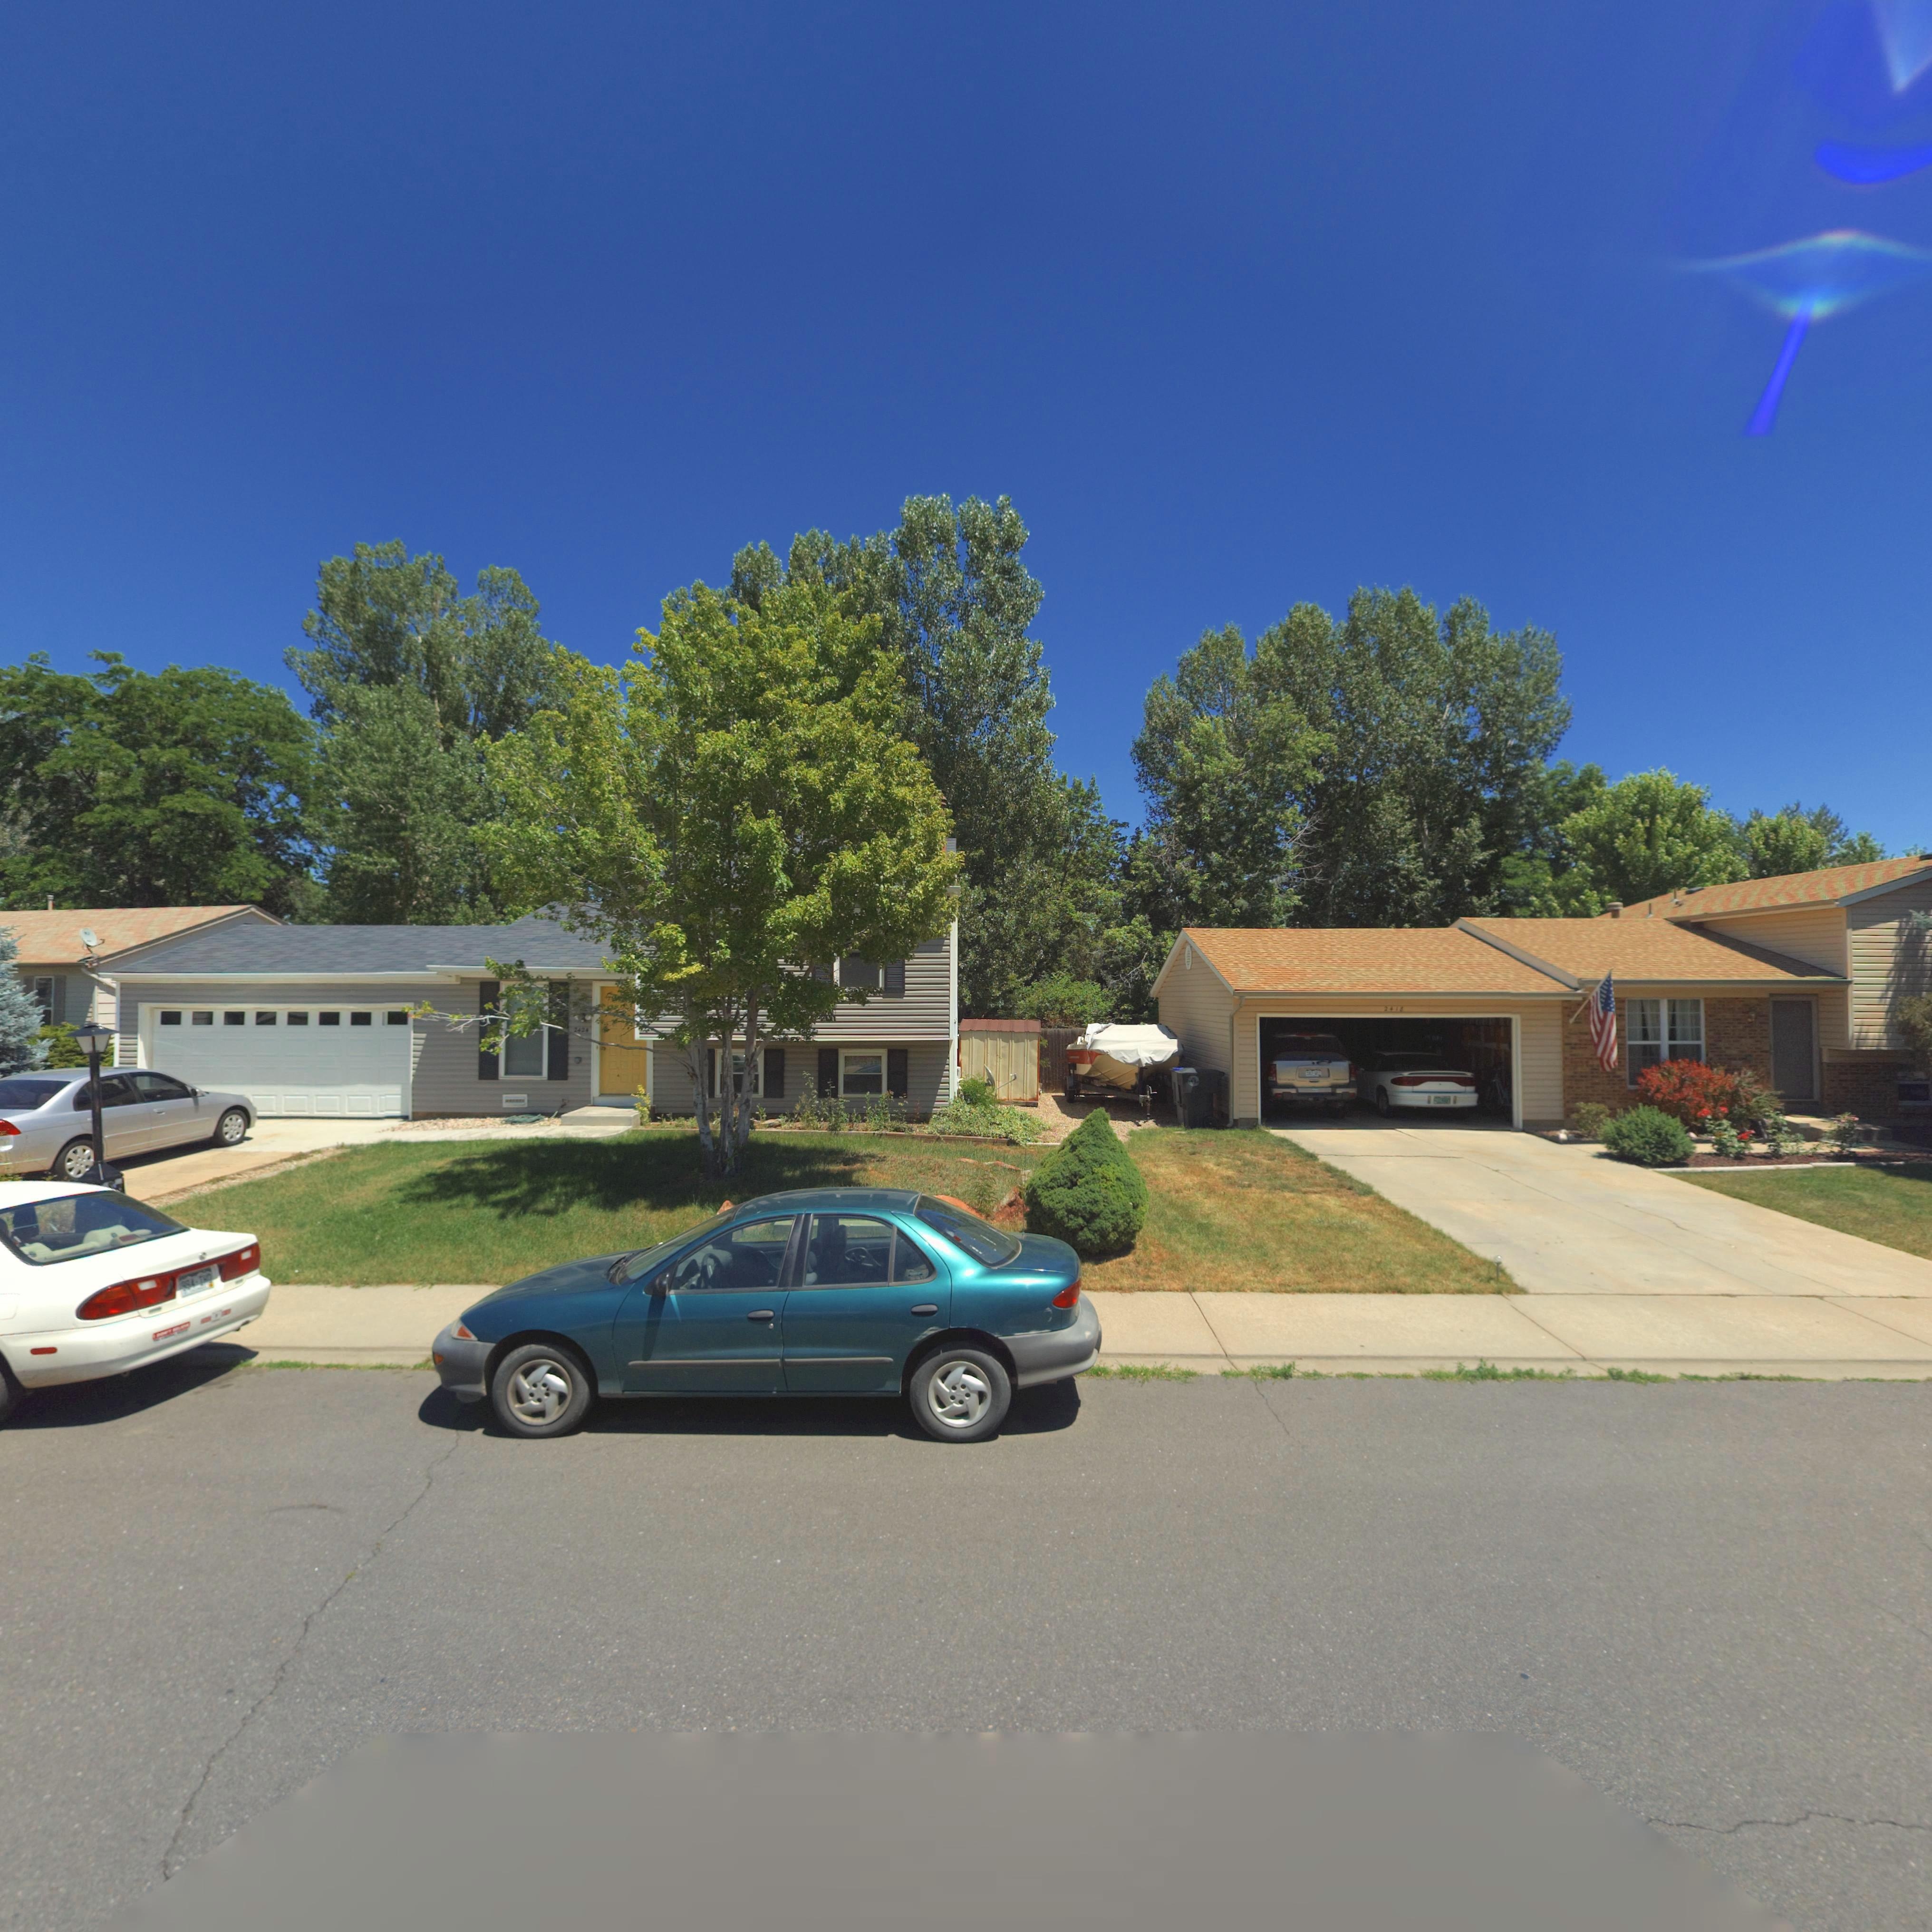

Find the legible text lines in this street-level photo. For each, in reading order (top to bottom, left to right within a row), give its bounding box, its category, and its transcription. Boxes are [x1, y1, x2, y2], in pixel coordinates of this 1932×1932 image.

[574, 1027, 589, 1033] StreetNumber: 2424